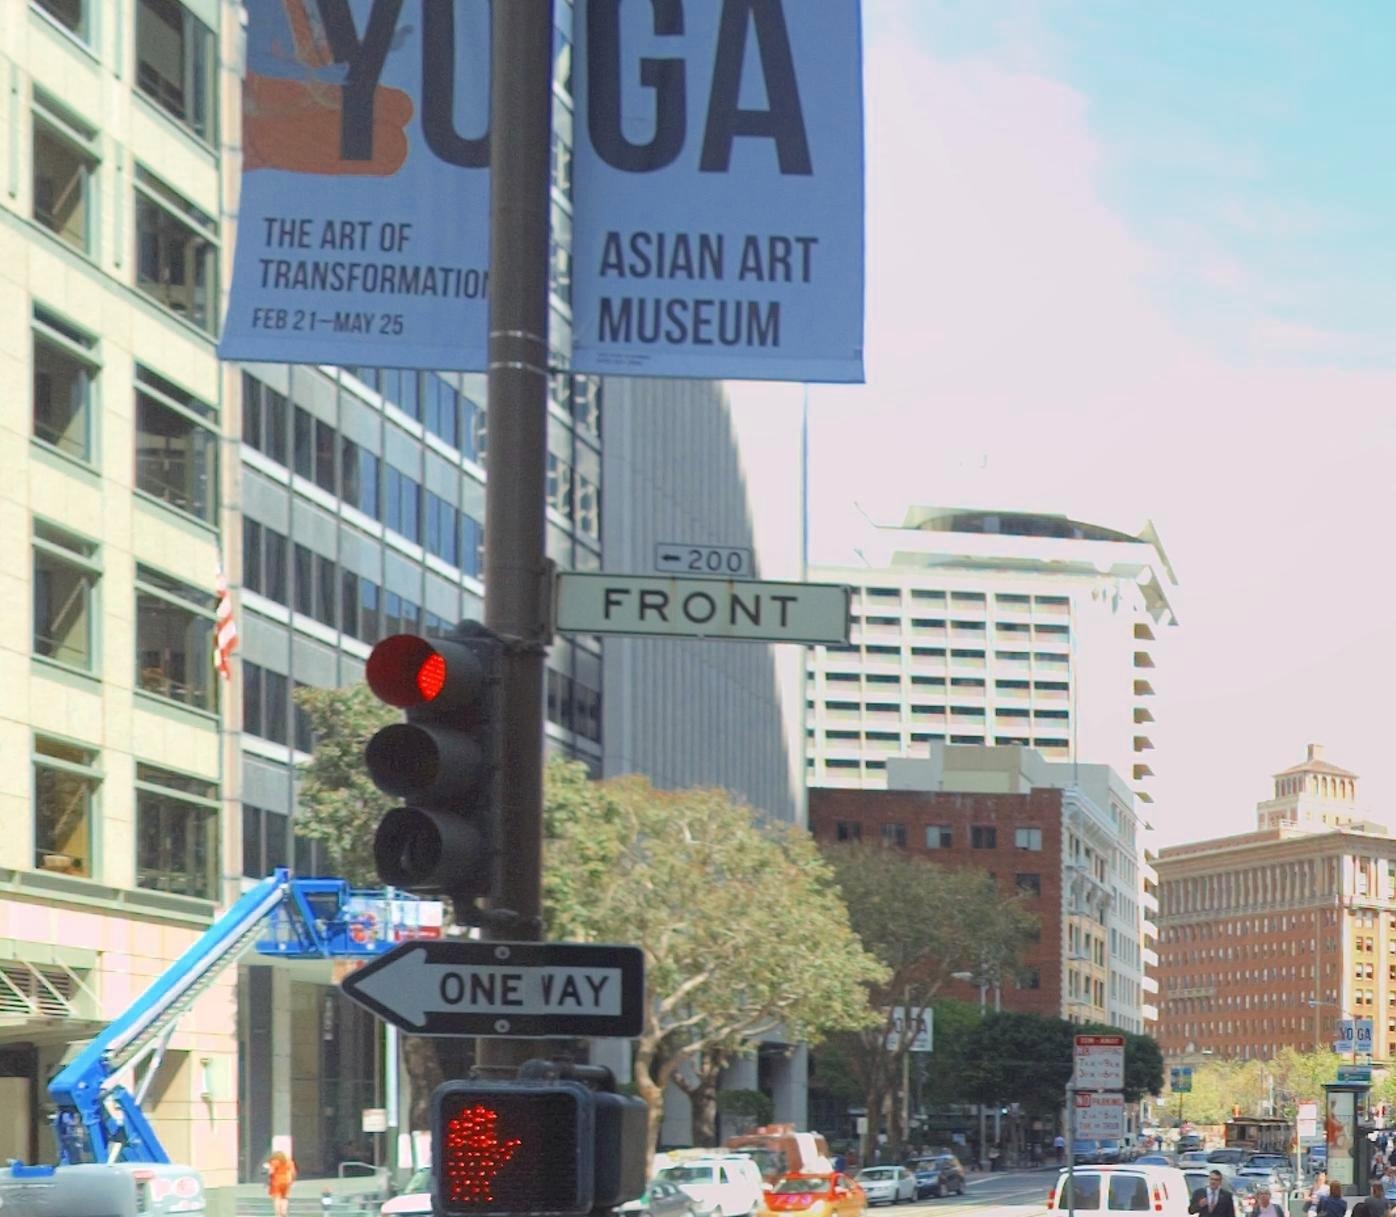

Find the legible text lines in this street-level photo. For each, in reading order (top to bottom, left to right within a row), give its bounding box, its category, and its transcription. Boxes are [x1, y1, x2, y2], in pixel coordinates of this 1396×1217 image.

[693, 1, 818, 180] None: A
[259, 213, 416, 257] None: THE ART OF
[256, 255, 481, 303] None: TRANSFORMATIO
[597, 229, 824, 286] BusinessName: ASIAN ART
[249, 305, 407, 340] None: FEB 21-MAY 25
[597, 292, 783, 353] BusinessName: MUSEUM
[658, 545, 751, 578] StreetNumberRange: <-200
[601, 582, 802, 632] StreetName: FRONT
[436, 969, 614, 1010] None: ONE VAY
[1080, 1109, 1088, 1119] None: 2
[1075, 1093, 1122, 1108] None: NO PARKING